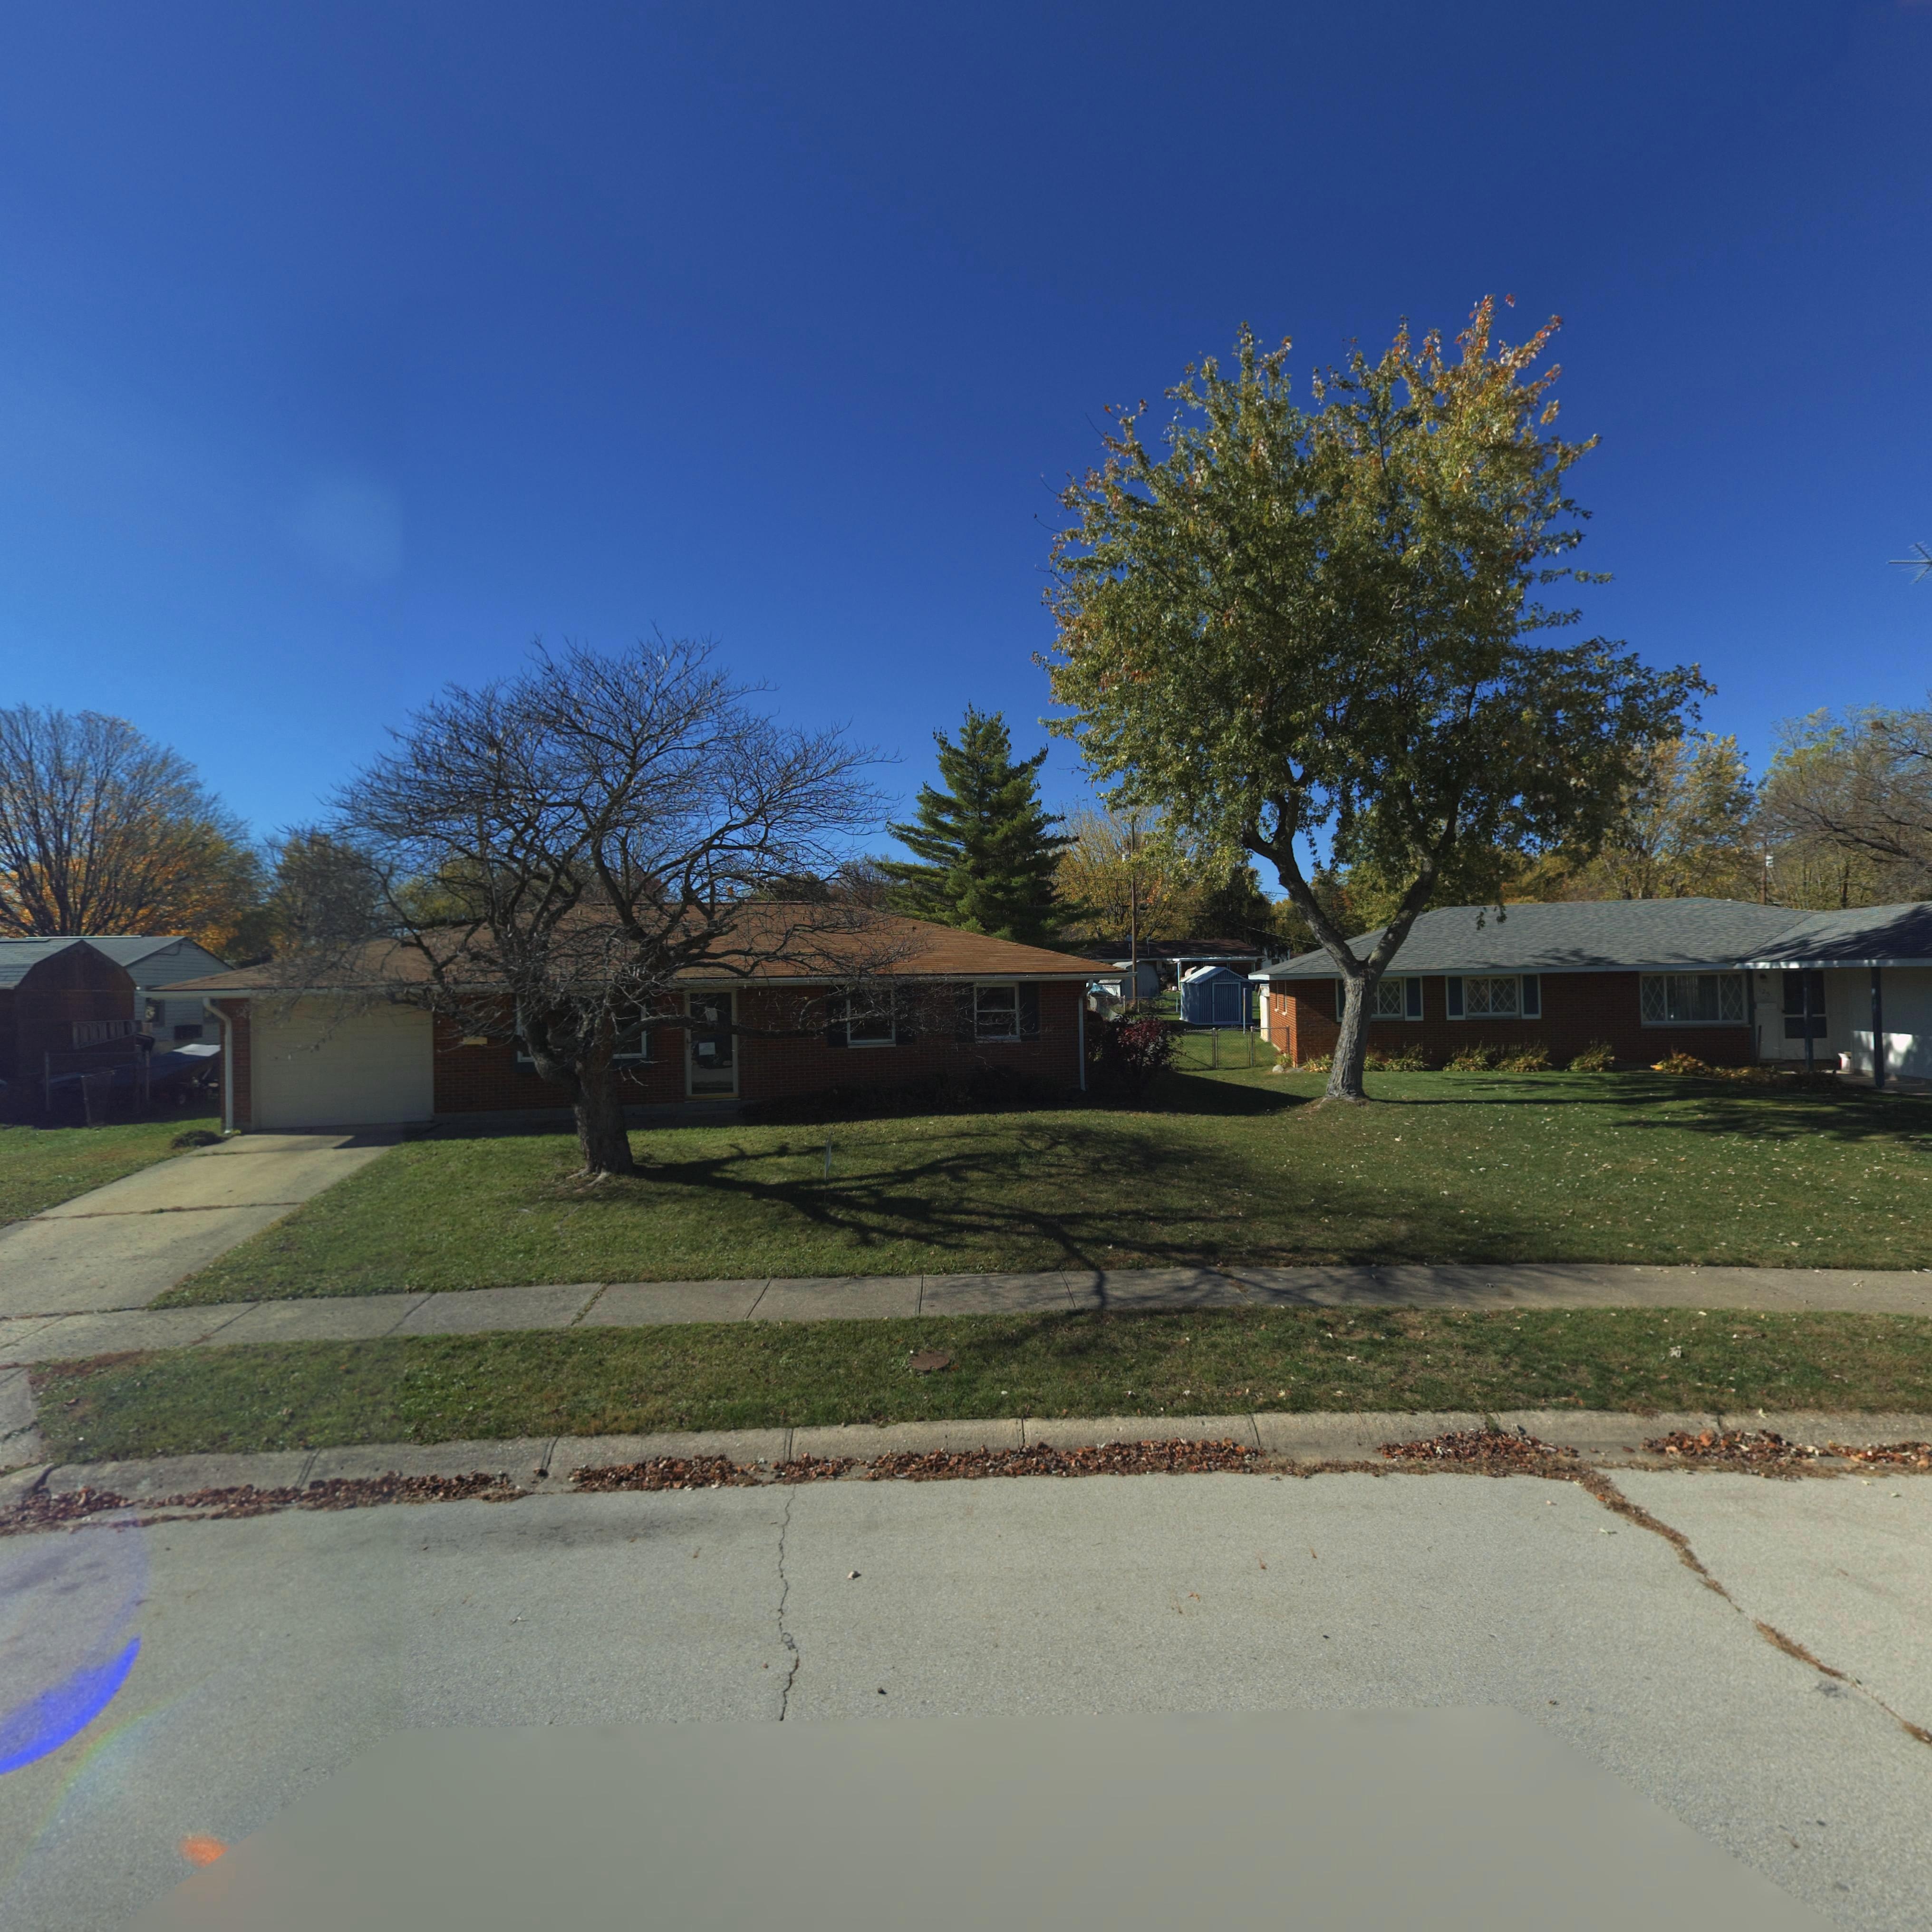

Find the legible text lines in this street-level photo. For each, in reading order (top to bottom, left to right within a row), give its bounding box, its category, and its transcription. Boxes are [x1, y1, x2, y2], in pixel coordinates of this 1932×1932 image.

[1758, 985, 1772, 998] StreetNumber: 1**